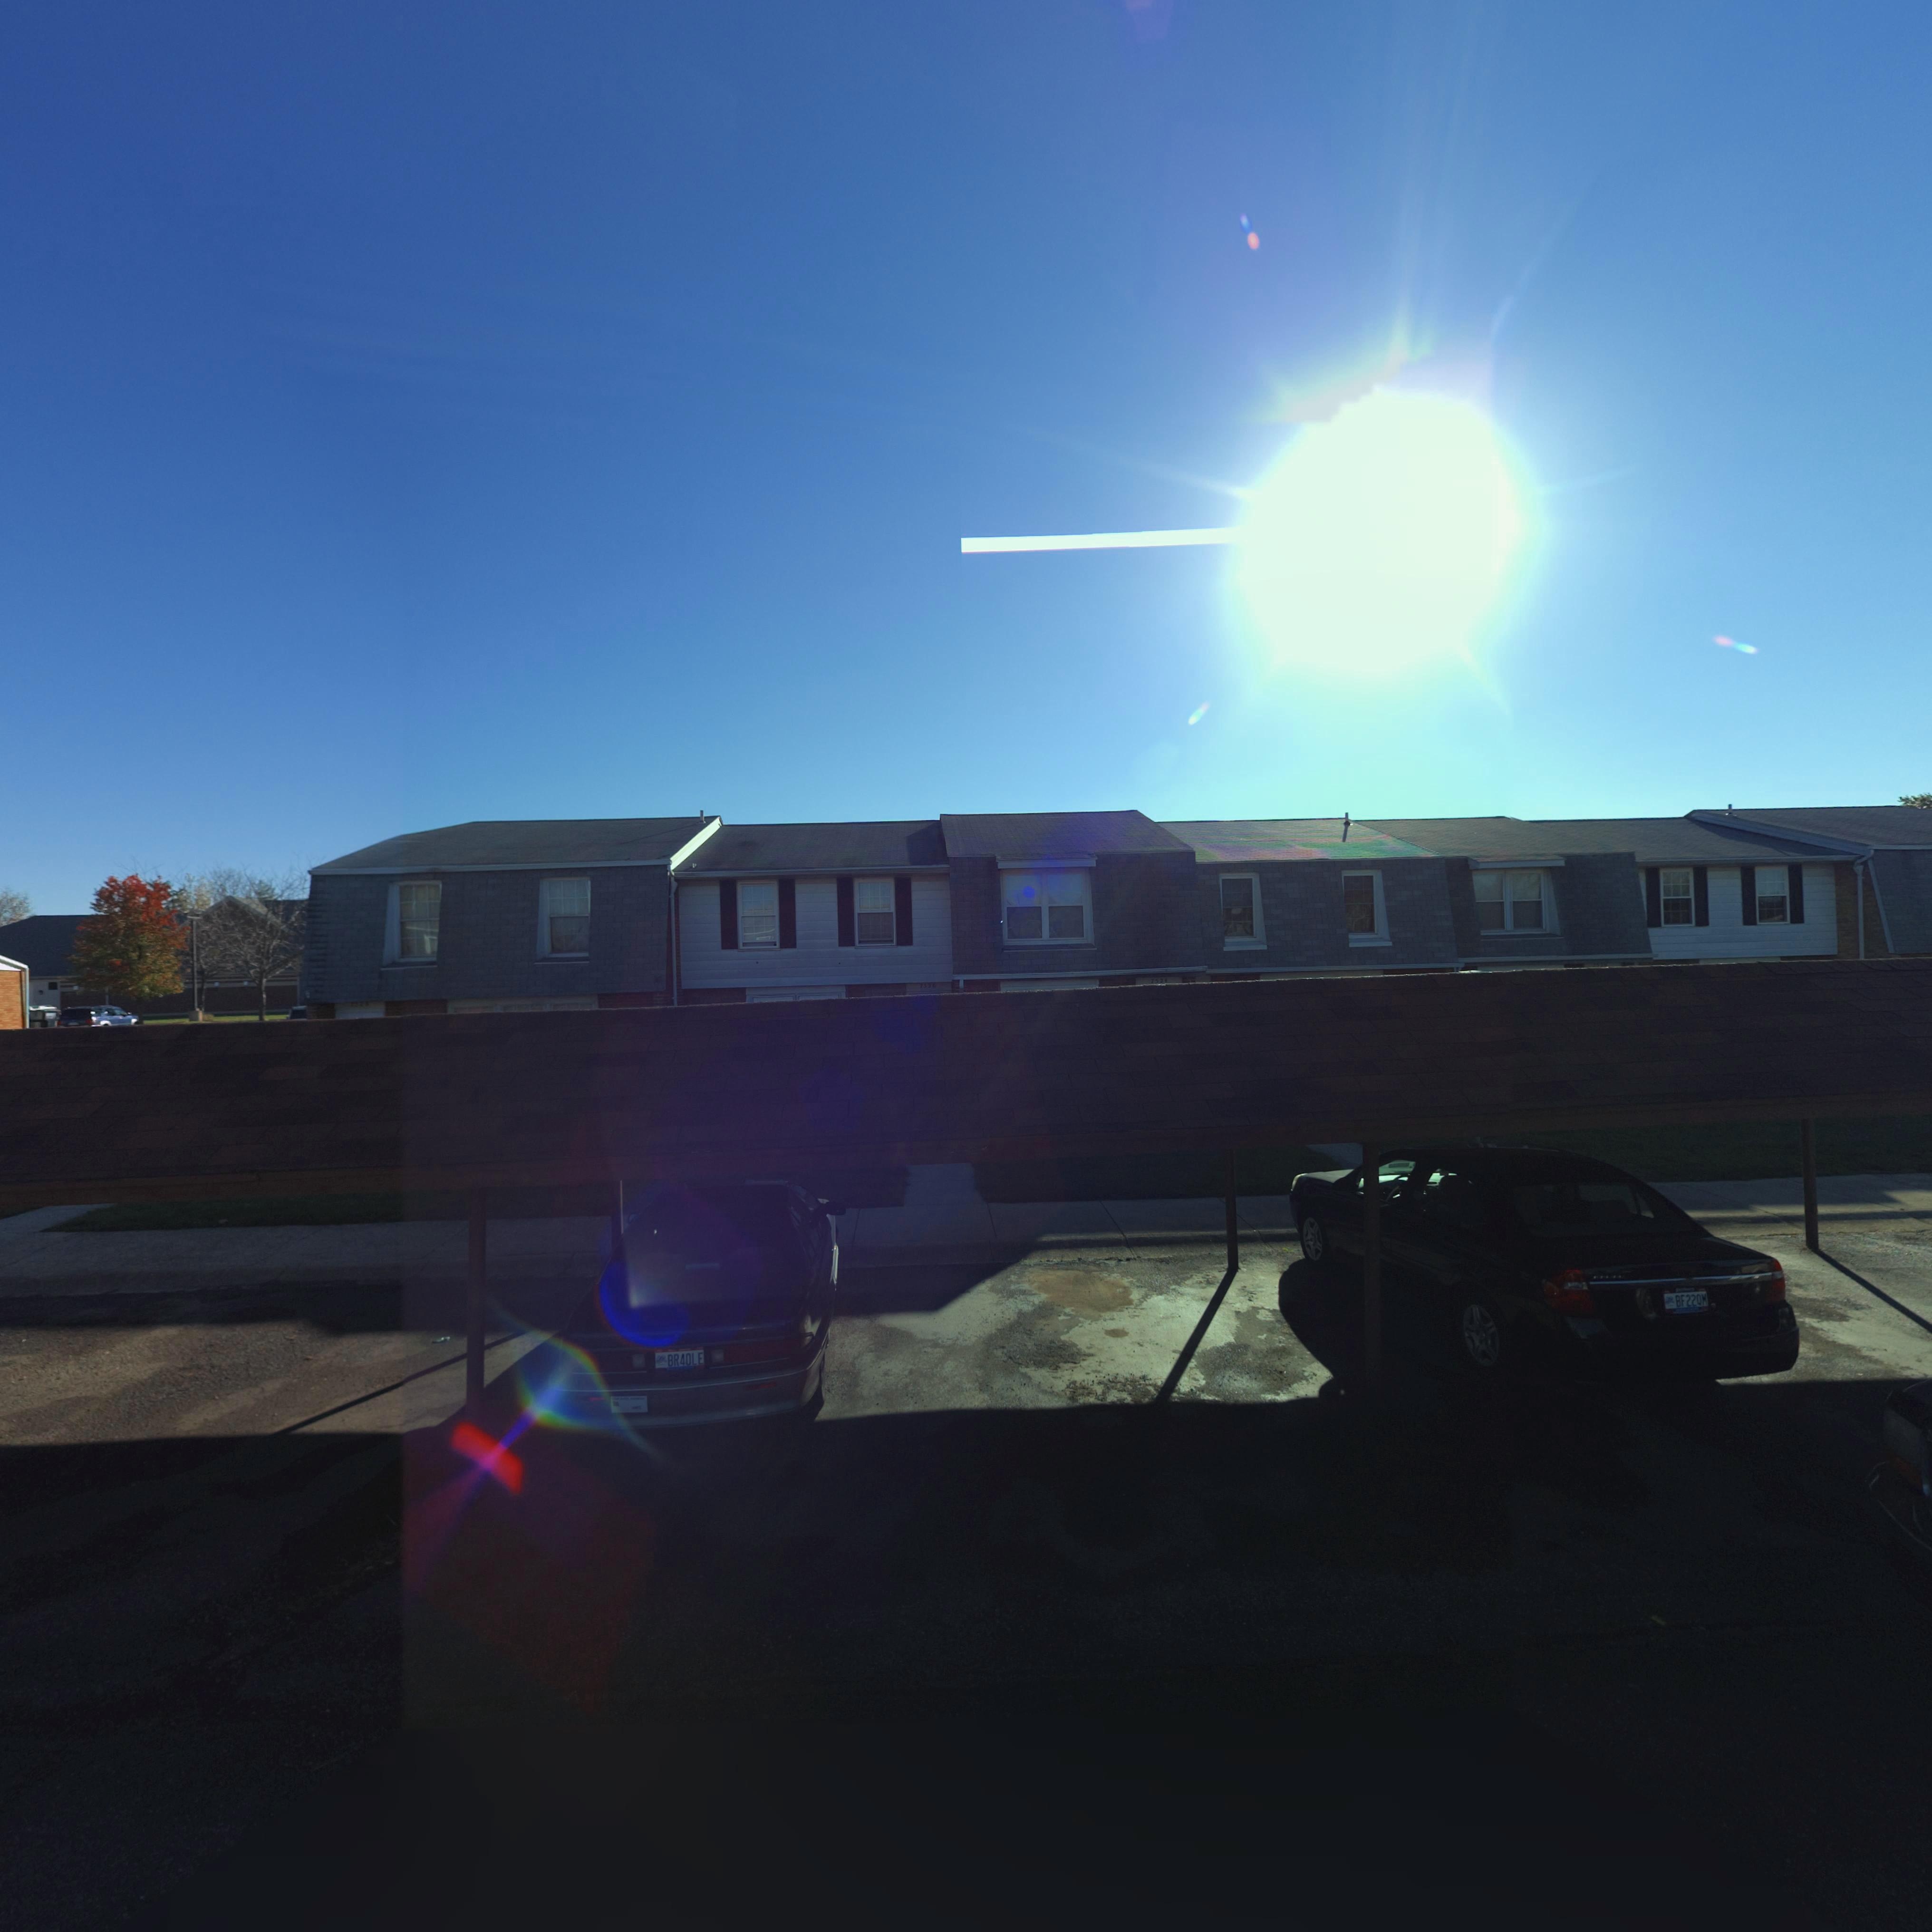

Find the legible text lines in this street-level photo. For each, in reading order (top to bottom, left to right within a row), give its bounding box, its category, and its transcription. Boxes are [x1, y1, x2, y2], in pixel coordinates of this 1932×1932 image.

[1592, 963, 1608, 967] StreetNumber: 75**
[1150, 978, 1168, 984] StreetNumber: 7524
[919, 983, 936, 988] StreetNumber: 7526
[349, 1000, 369, 1008] StreetNumber: 7*2*